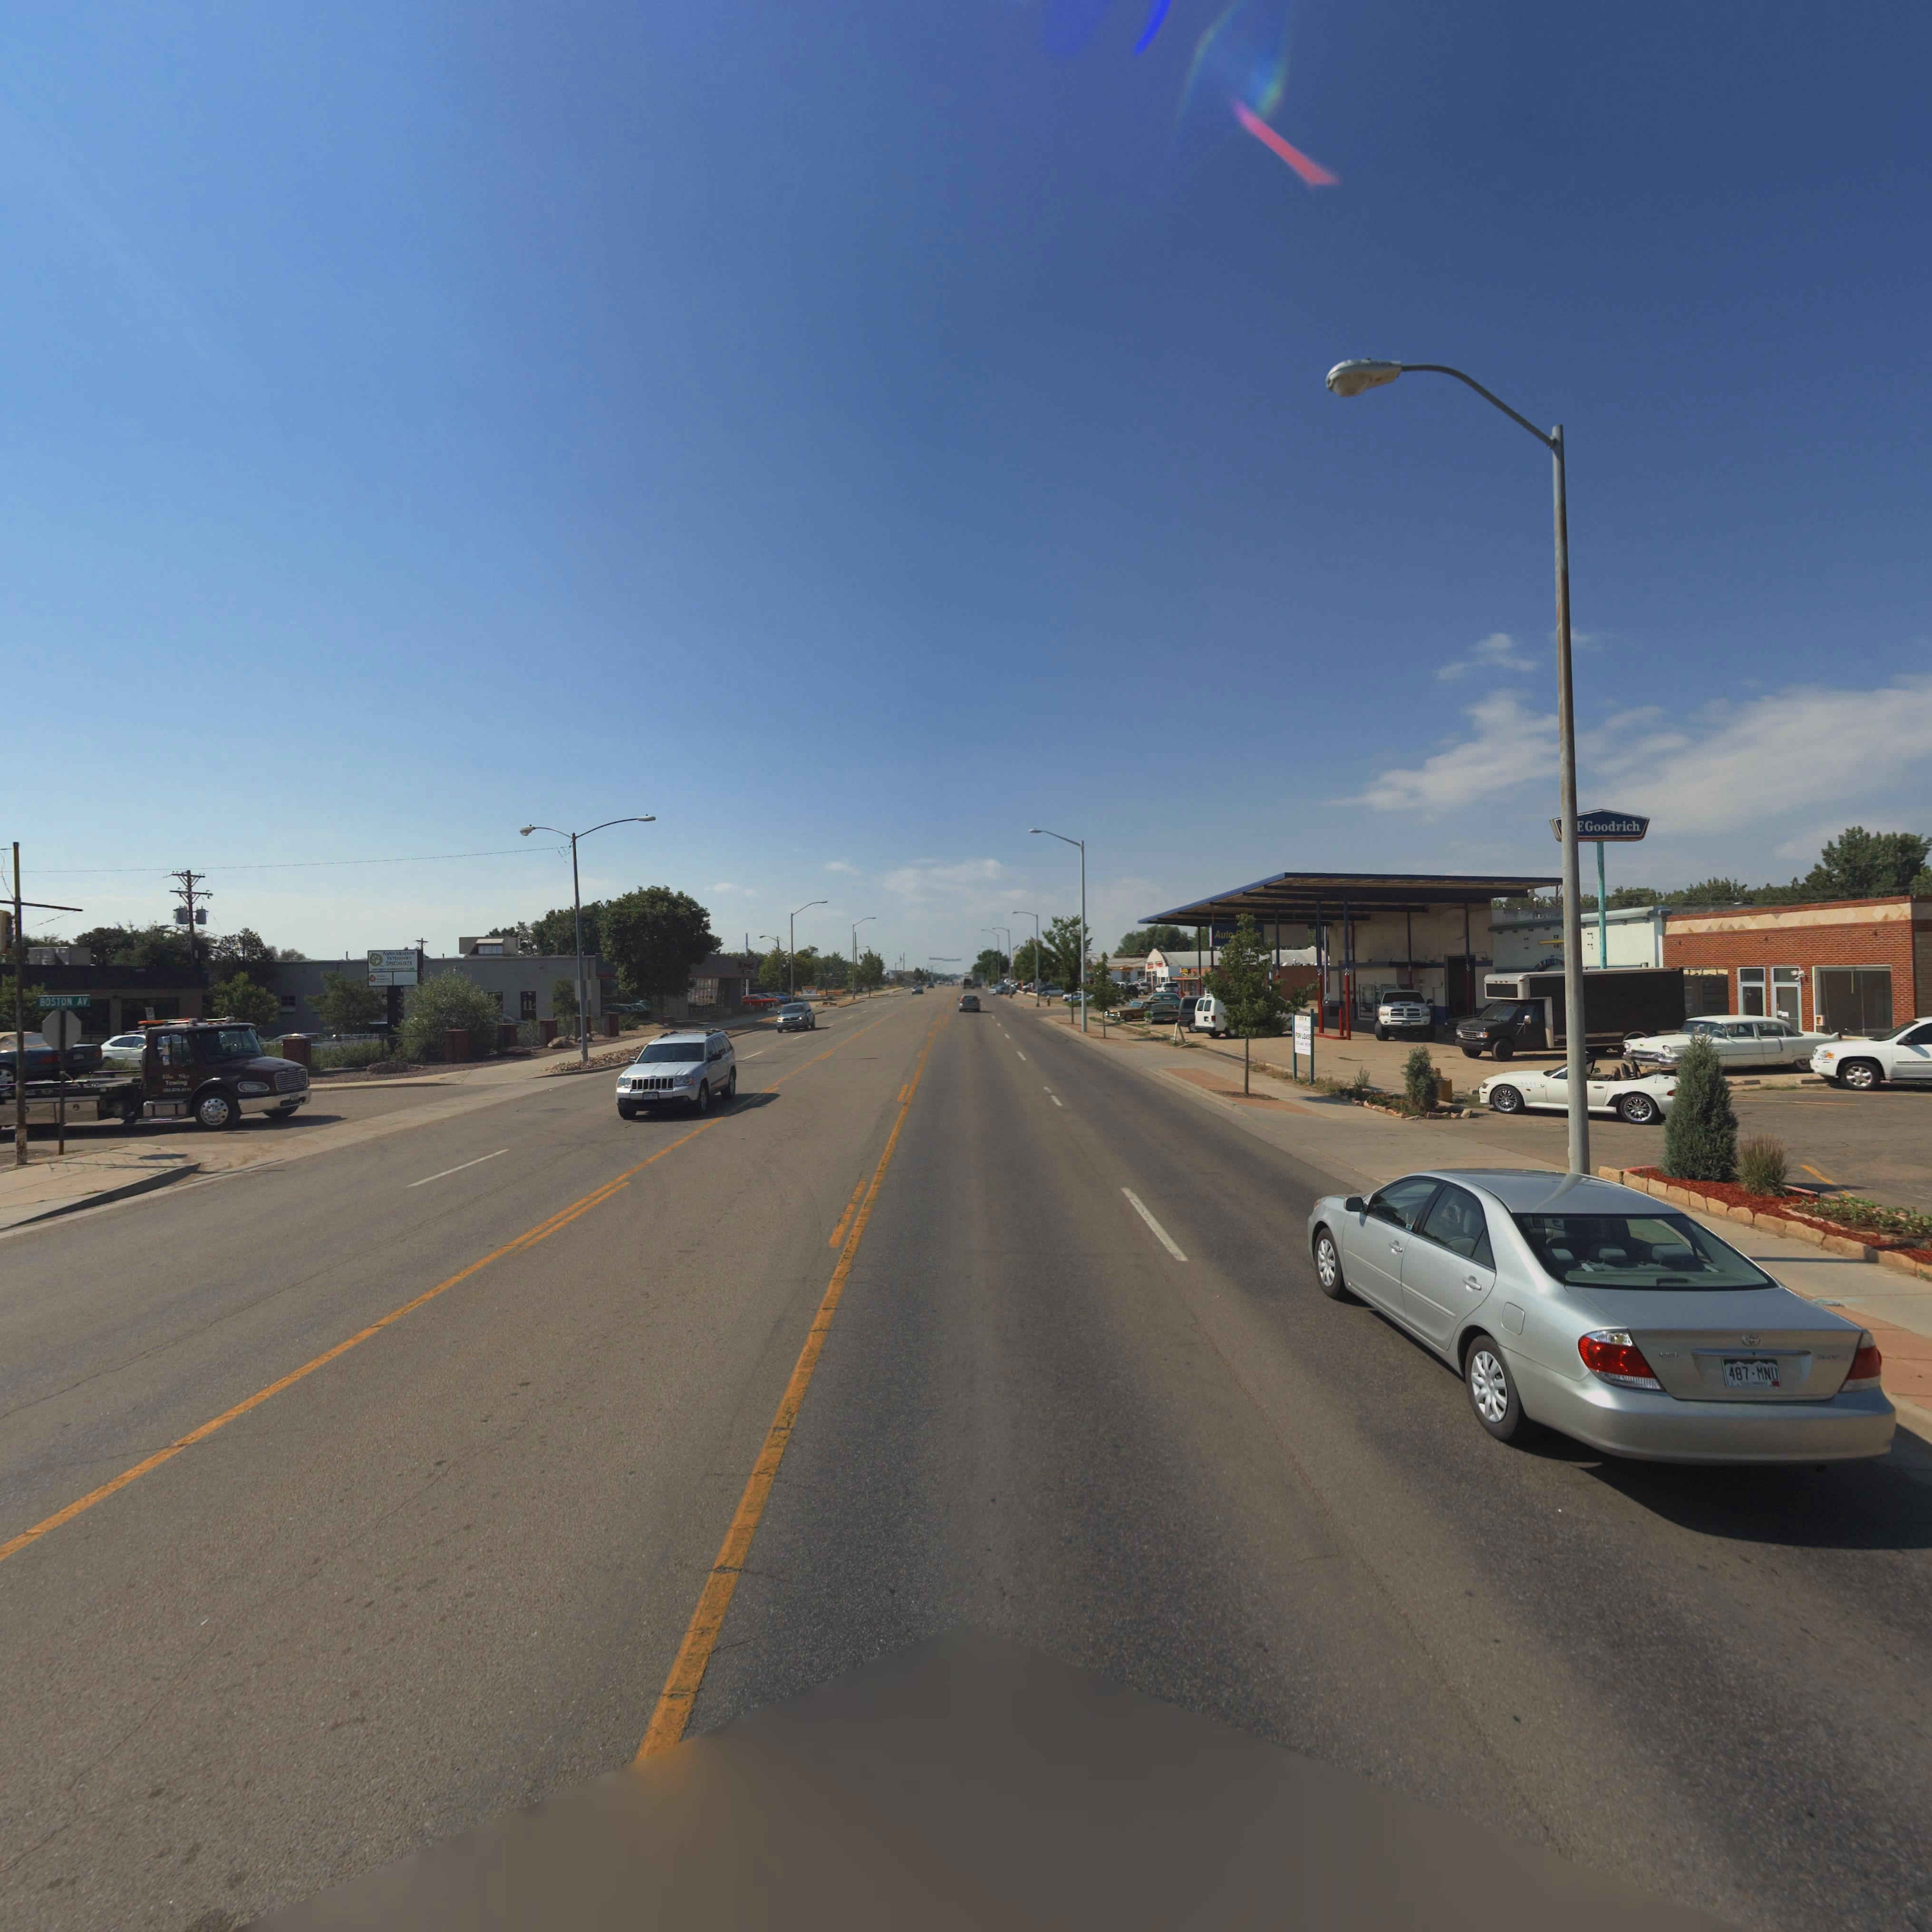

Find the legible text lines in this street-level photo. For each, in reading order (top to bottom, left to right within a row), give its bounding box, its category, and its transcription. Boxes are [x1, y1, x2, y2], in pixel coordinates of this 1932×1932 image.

[382, 951, 415, 956] BusinessName: A**N*****
[386, 955, 412, 960] StreetName: V*T******
[386, 960, 412, 965] BusinessName: SP*C****S**
[40, 996, 87, 1006] StreetName: BOSTON AV